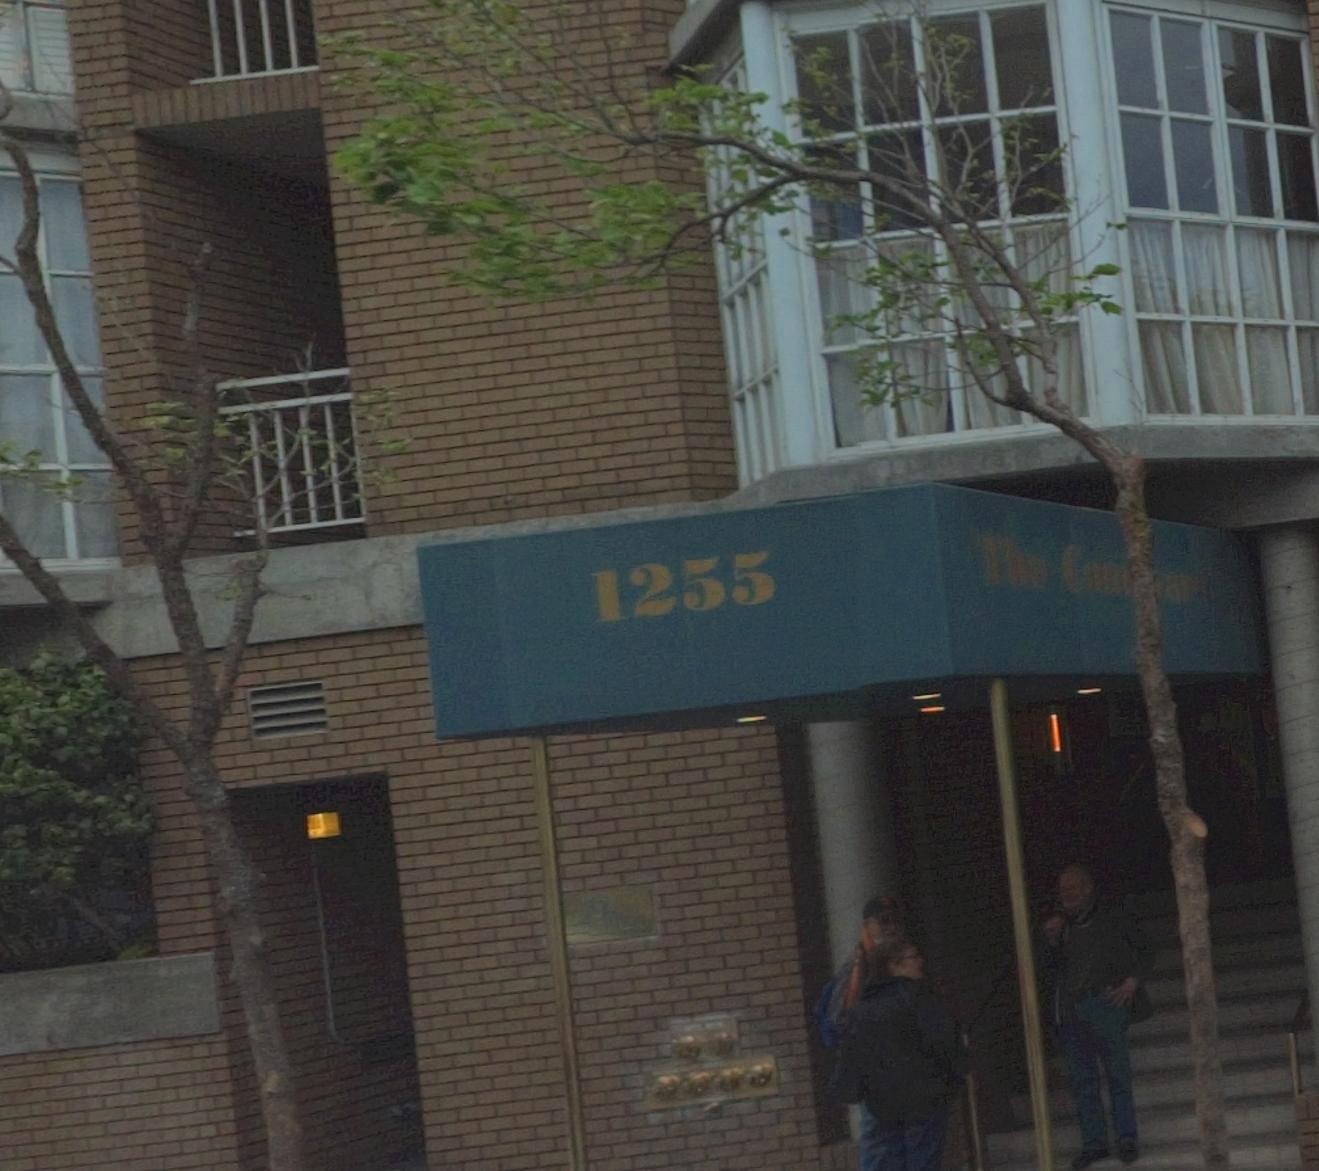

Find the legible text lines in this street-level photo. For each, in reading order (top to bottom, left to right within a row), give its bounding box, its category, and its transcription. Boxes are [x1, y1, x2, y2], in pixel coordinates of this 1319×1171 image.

[586, 543, 783, 631] StreetNumber: 1255
[968, 527, 1092, 601] BusinessName: The C